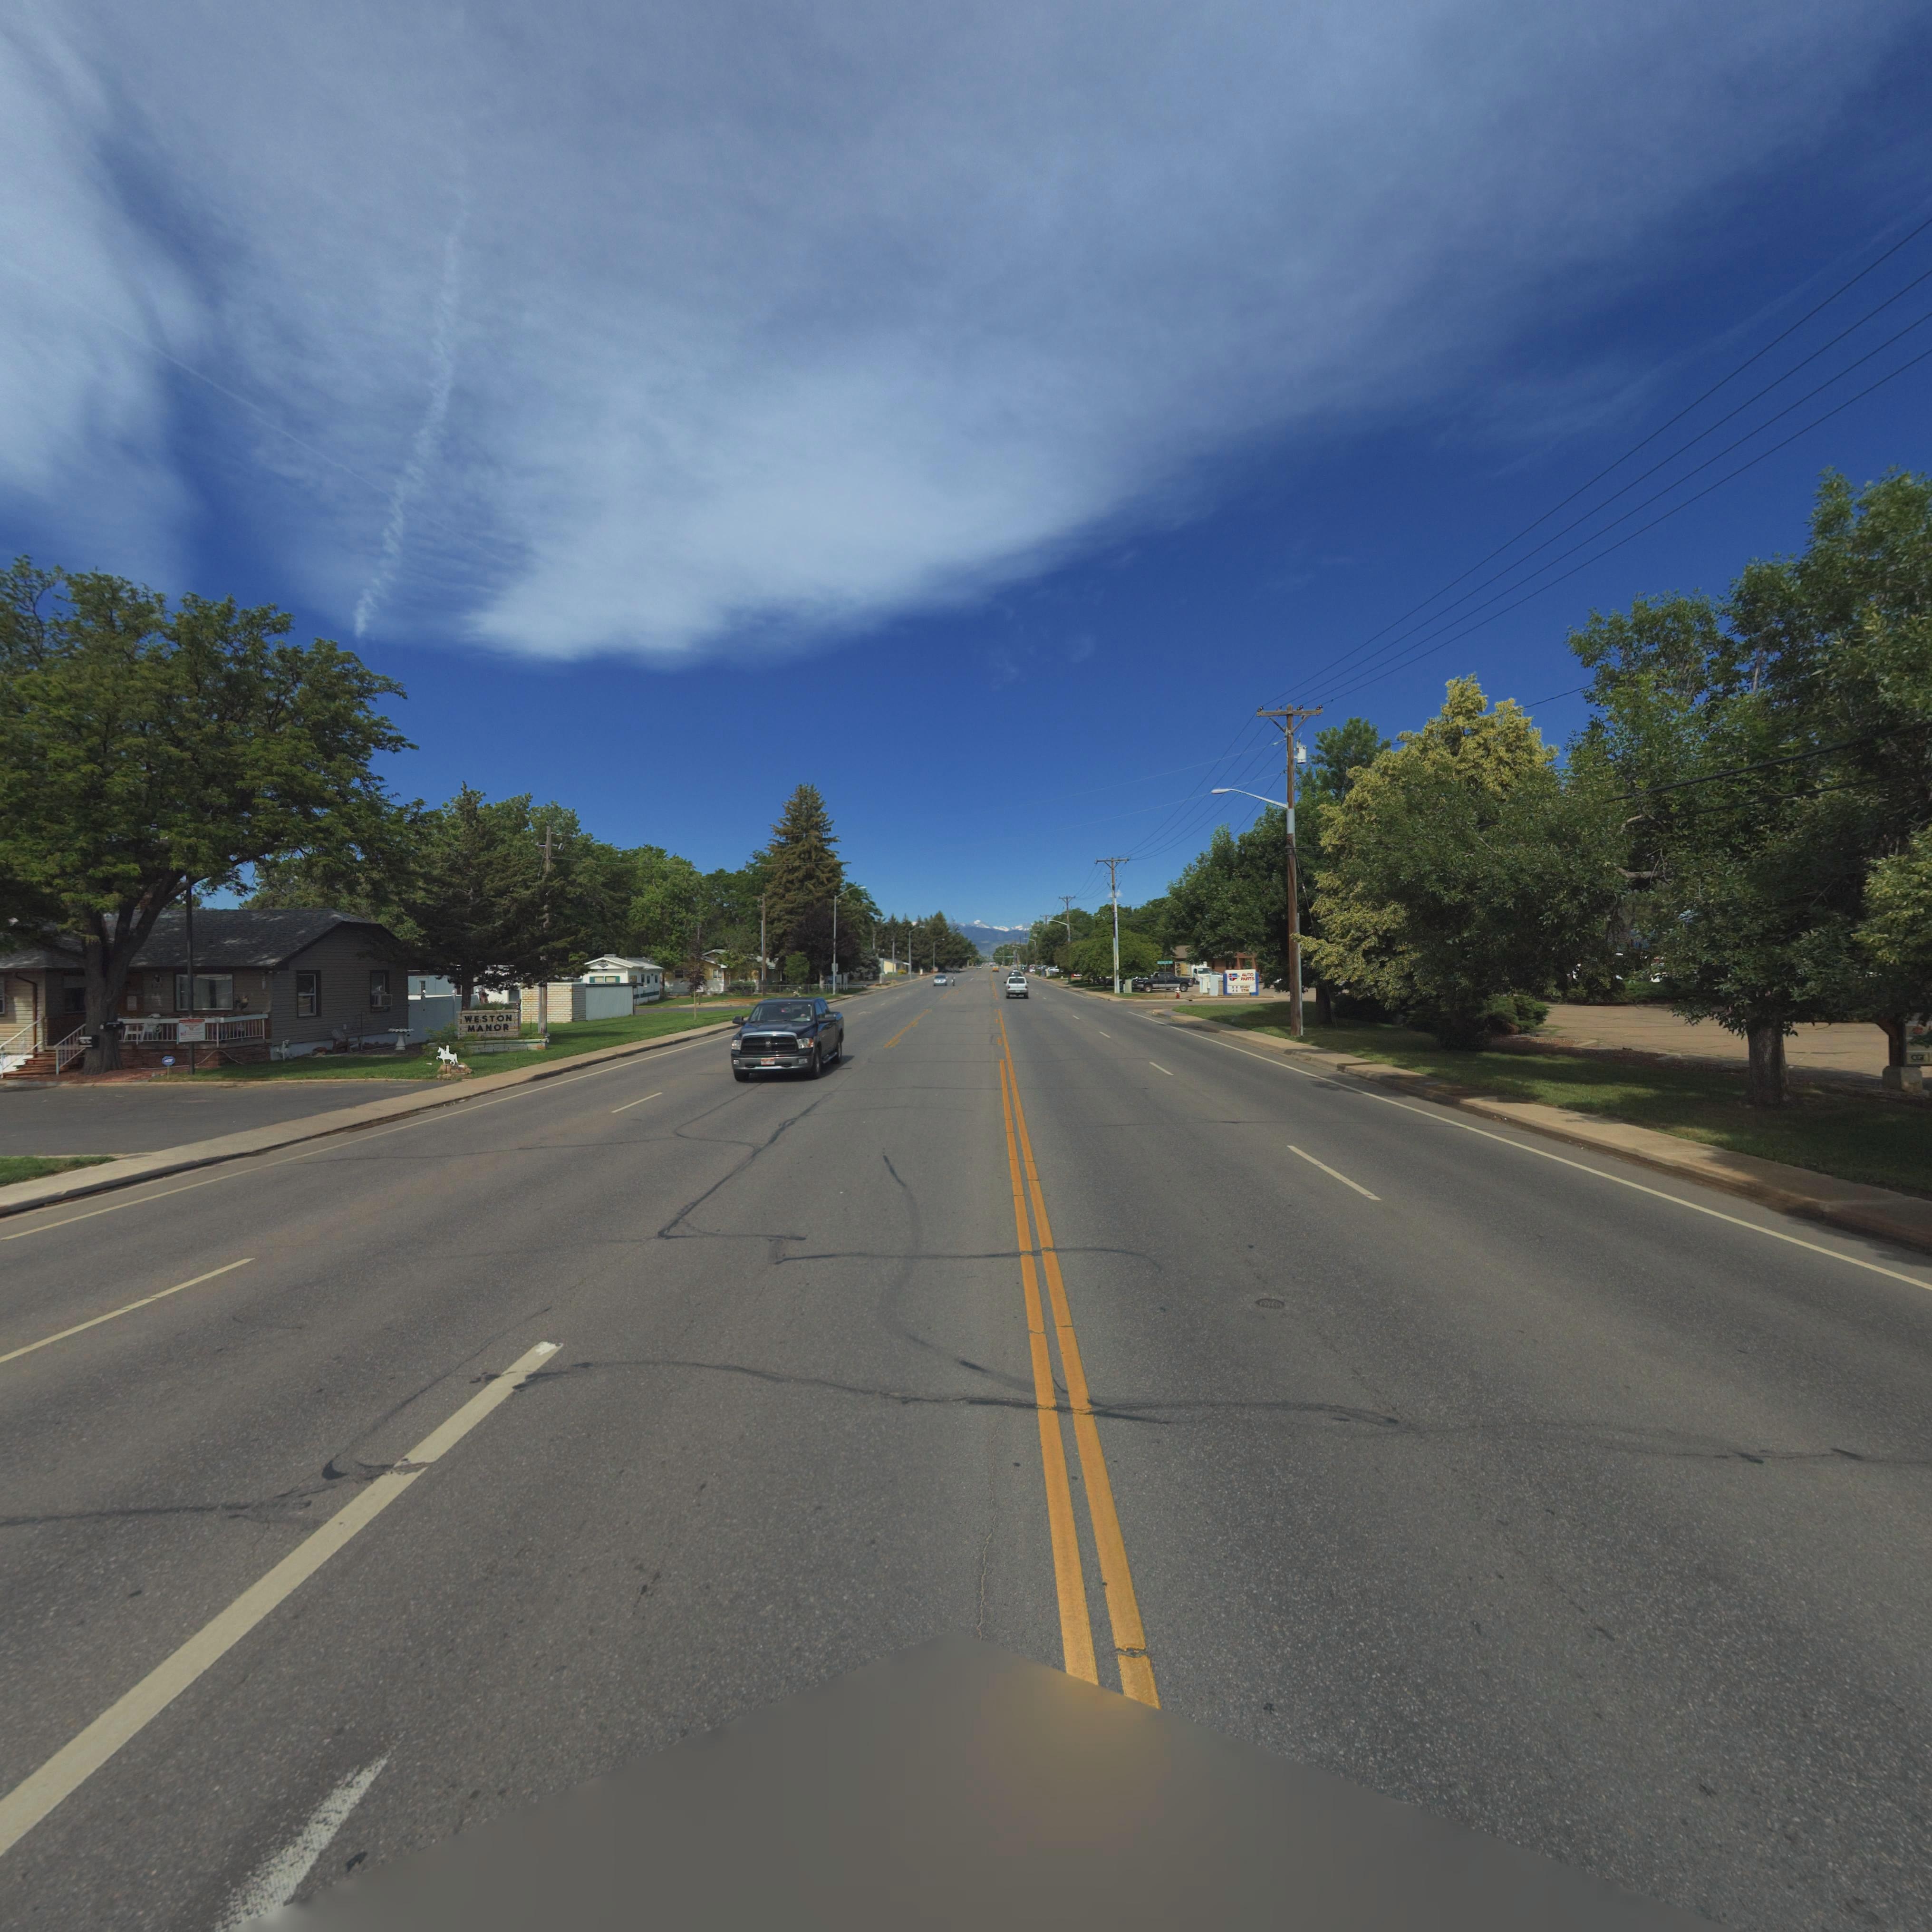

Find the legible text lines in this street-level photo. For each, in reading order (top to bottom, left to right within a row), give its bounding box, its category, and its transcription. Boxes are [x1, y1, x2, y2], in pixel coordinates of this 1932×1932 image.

[464, 1014, 512, 1023] BusinessName: WESTON
[467, 1023, 509, 1032] BusinessName: MANOR